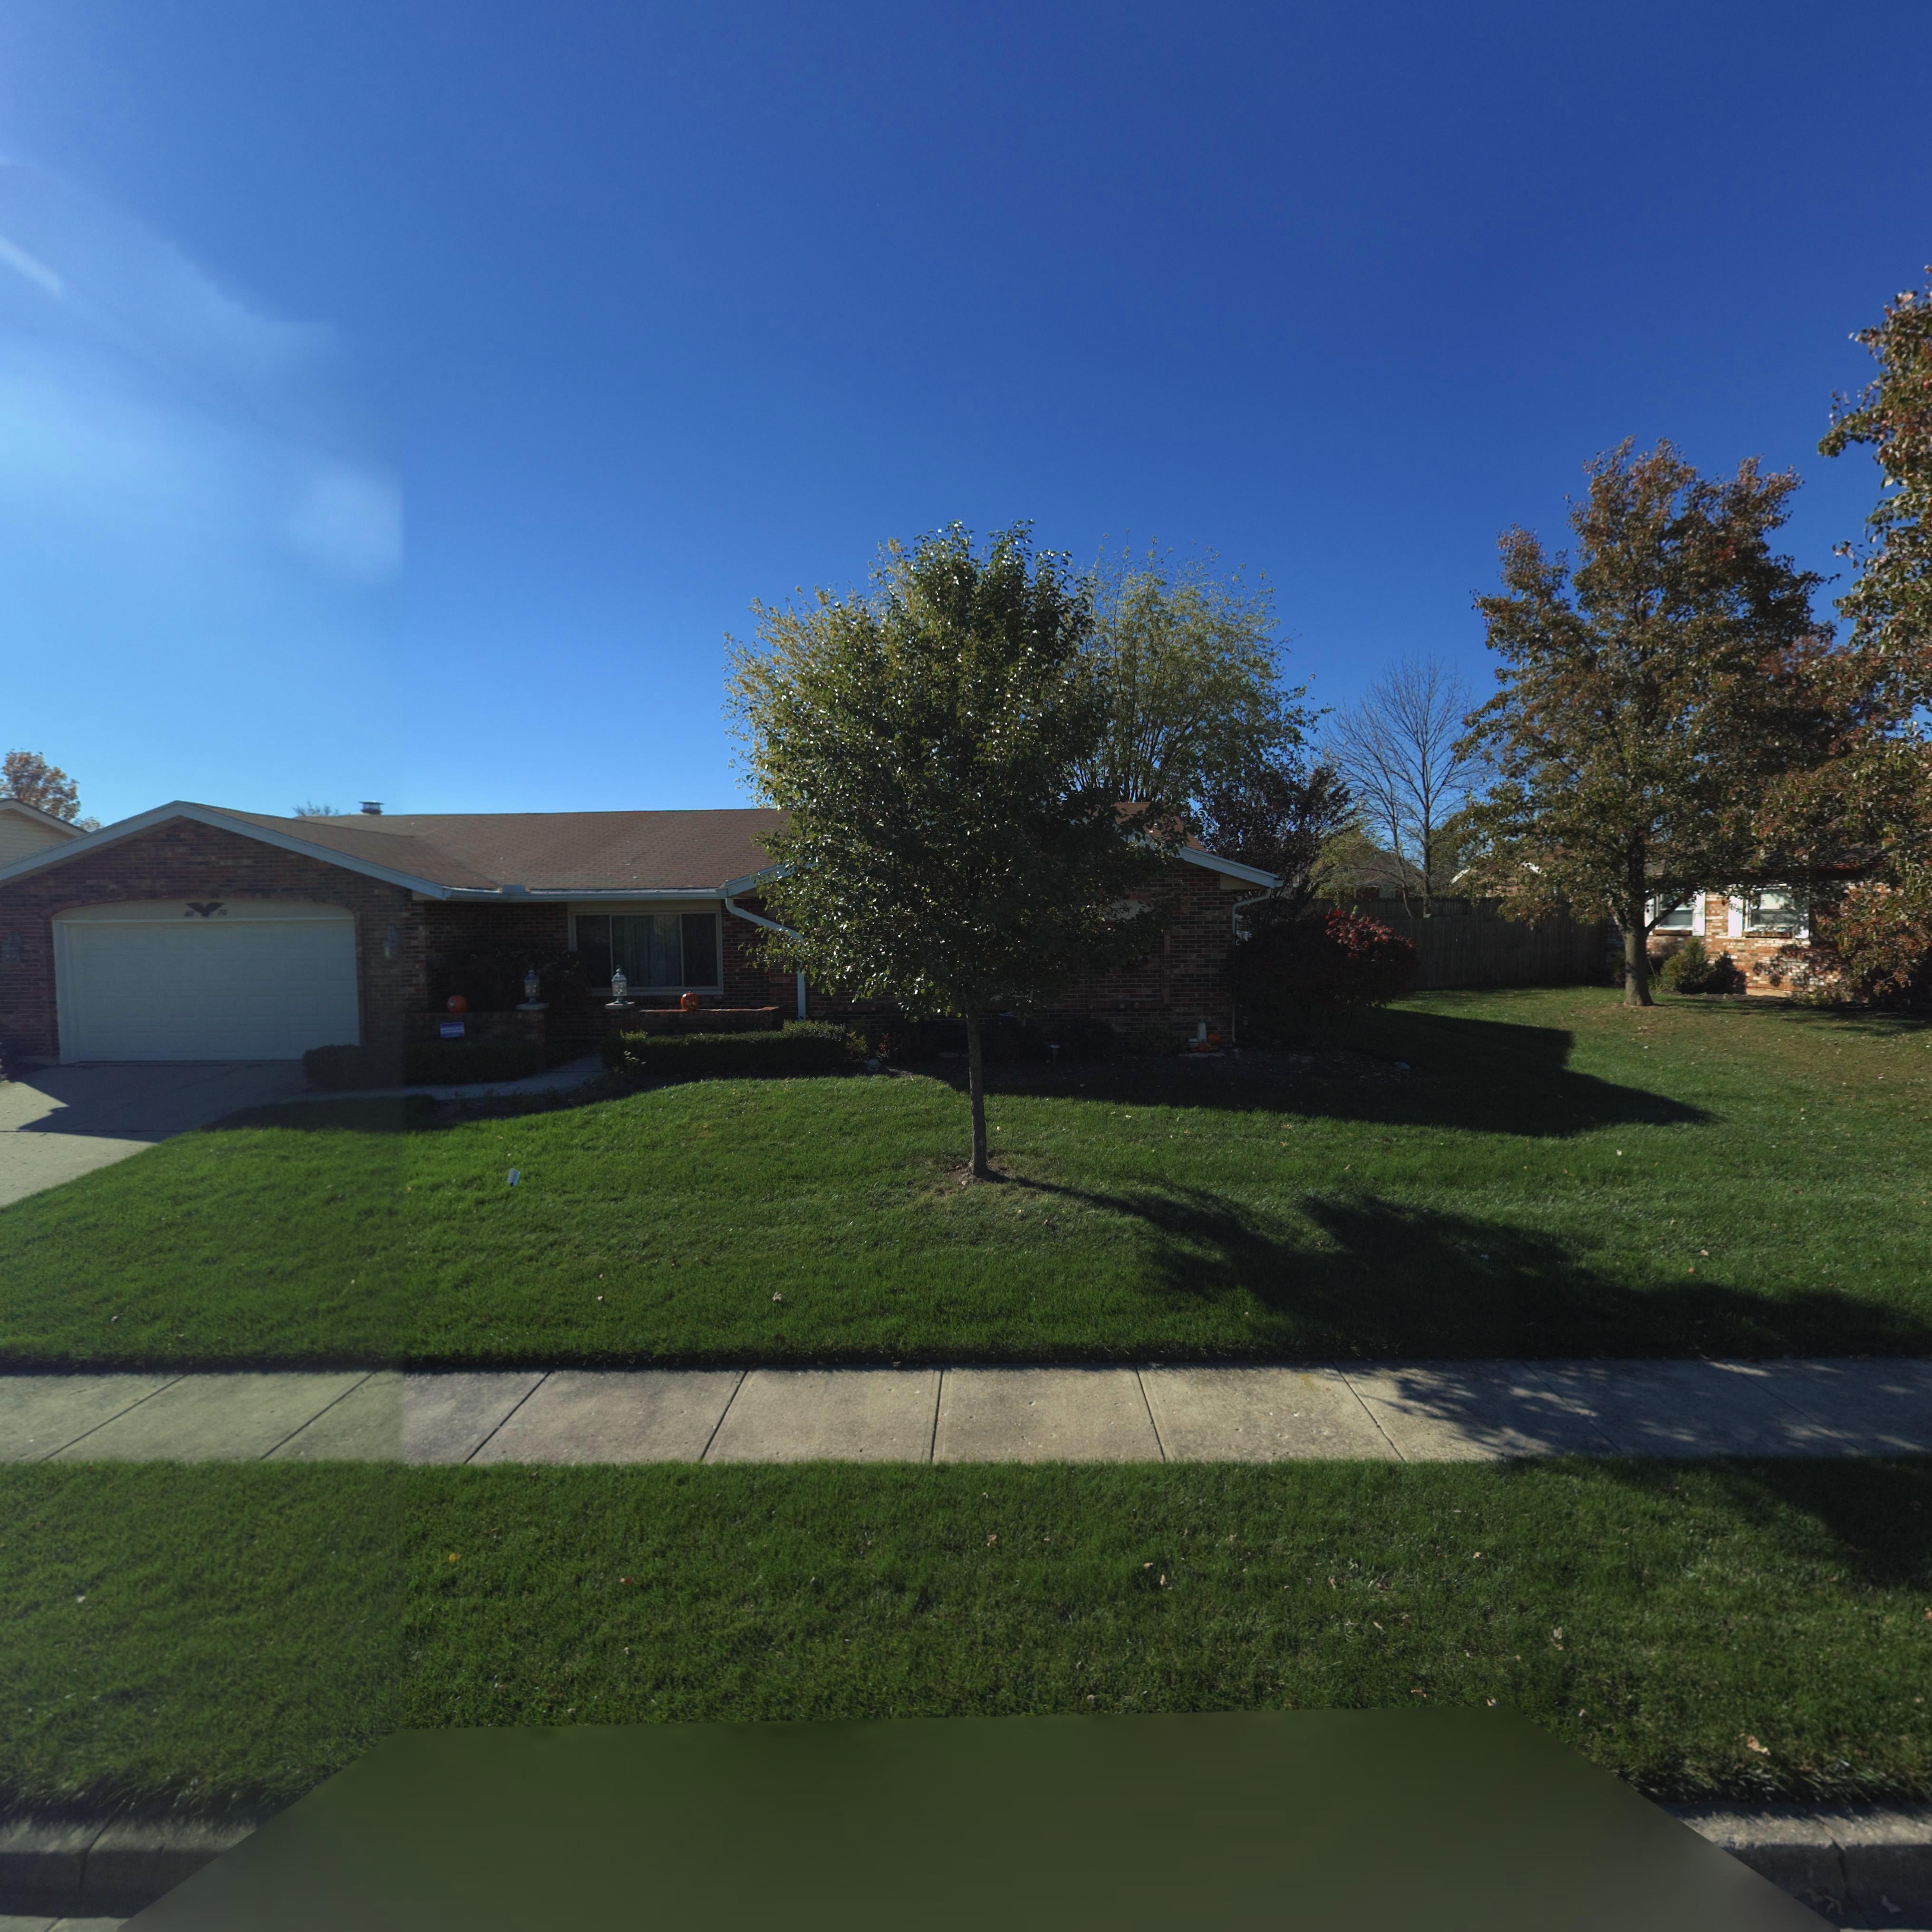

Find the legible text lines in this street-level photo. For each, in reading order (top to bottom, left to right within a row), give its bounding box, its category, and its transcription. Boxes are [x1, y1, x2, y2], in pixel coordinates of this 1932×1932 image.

[183, 909, 229, 918] StreetNumber: 43*70